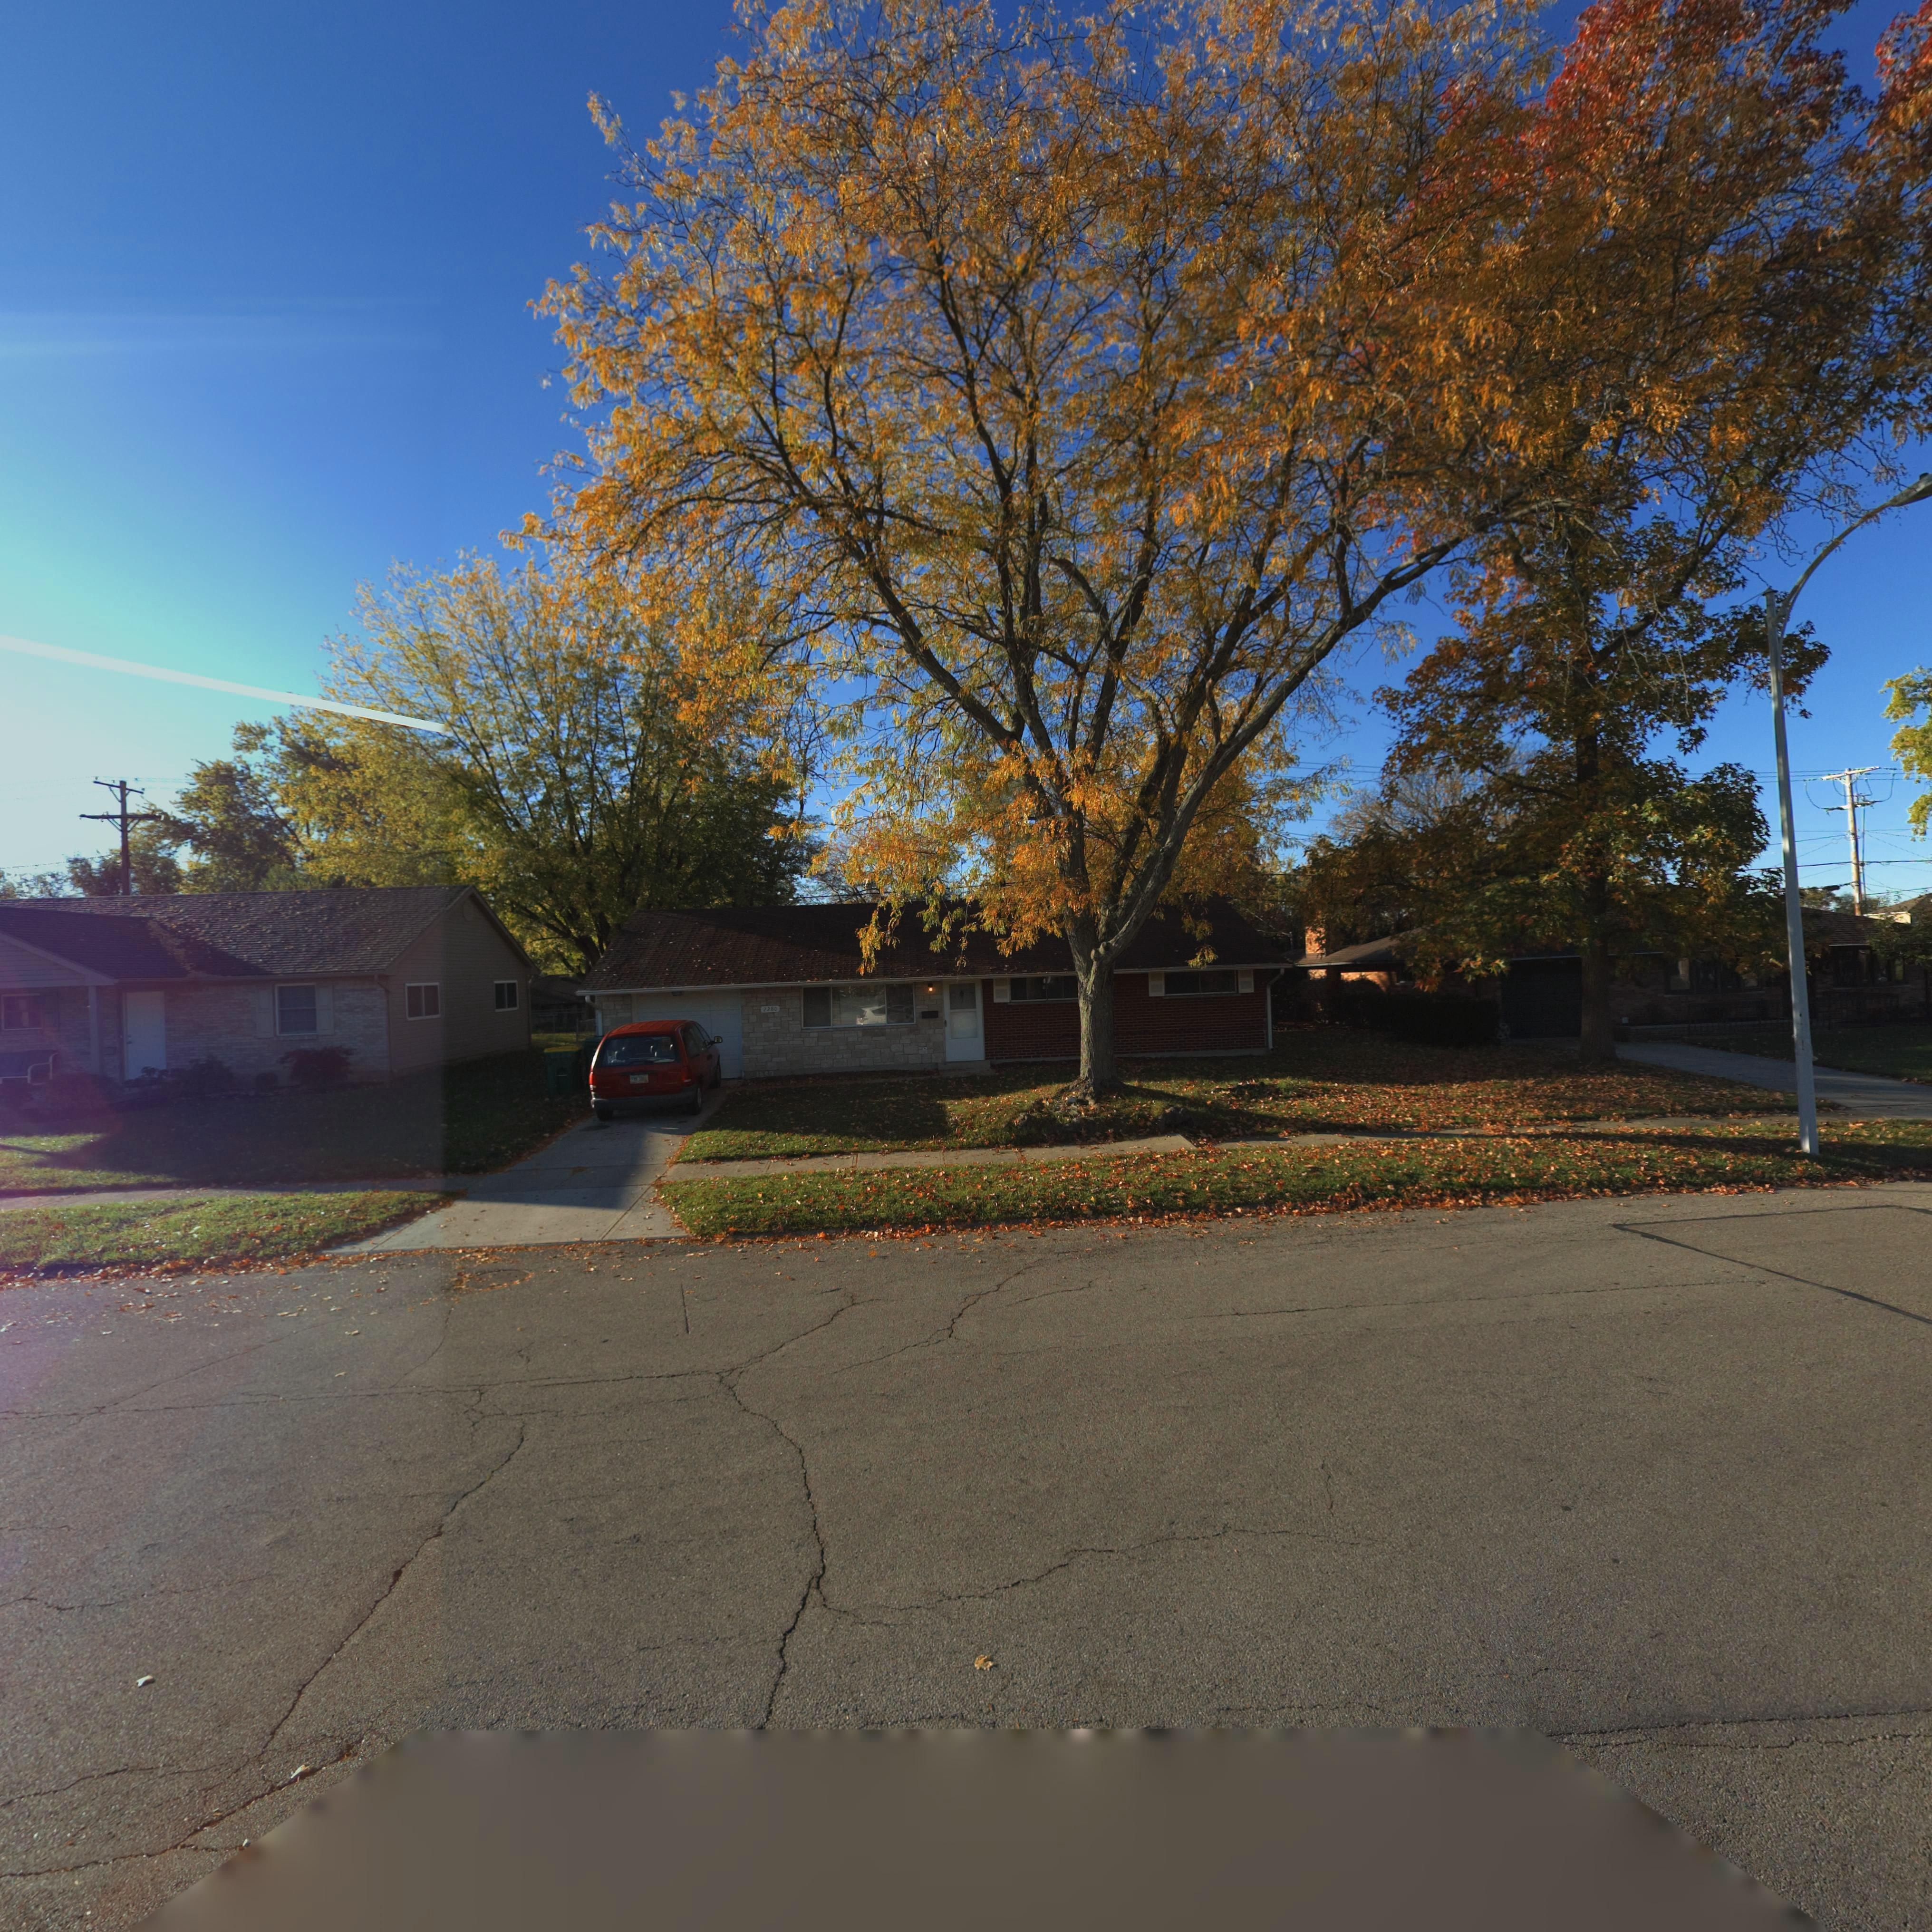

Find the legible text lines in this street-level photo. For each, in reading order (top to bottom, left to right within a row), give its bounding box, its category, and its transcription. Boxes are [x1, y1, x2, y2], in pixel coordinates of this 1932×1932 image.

[763, 1006, 778, 1013] StreetNumber: 22*0